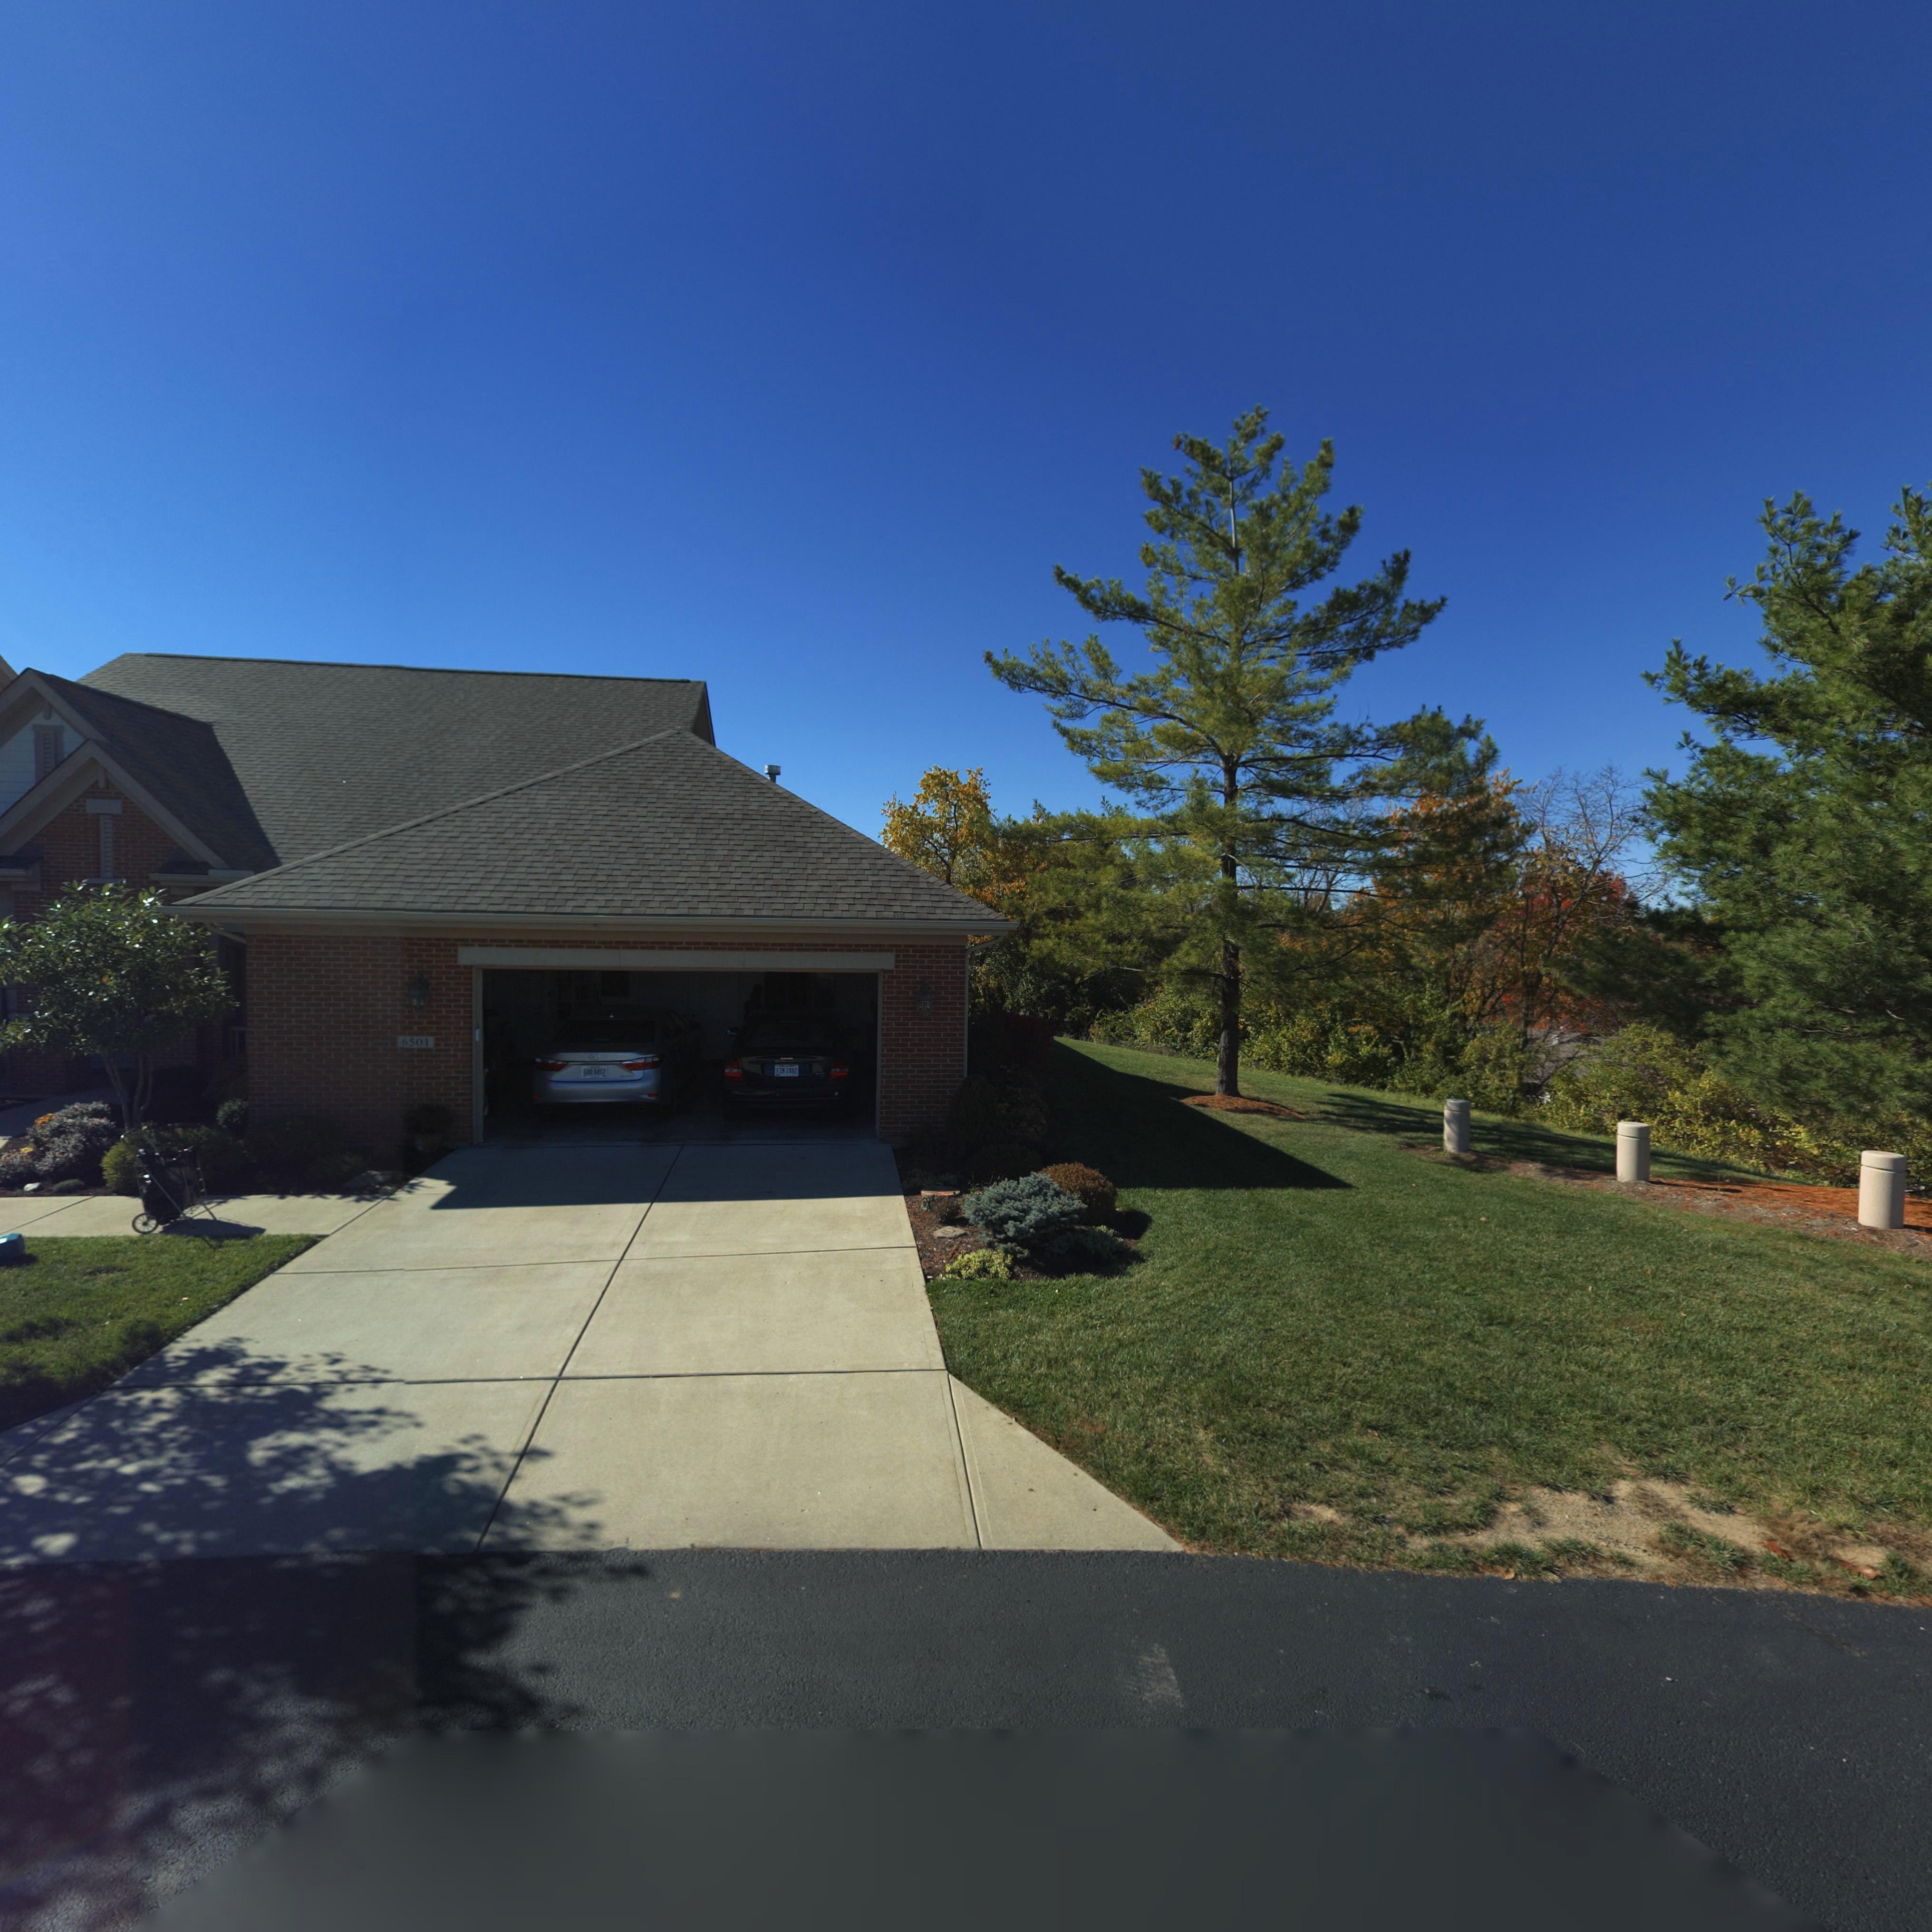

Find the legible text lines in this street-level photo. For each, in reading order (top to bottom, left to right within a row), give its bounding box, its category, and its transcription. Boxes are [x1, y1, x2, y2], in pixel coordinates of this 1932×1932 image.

[401, 1037, 429, 1047] StreetNumber: 6501